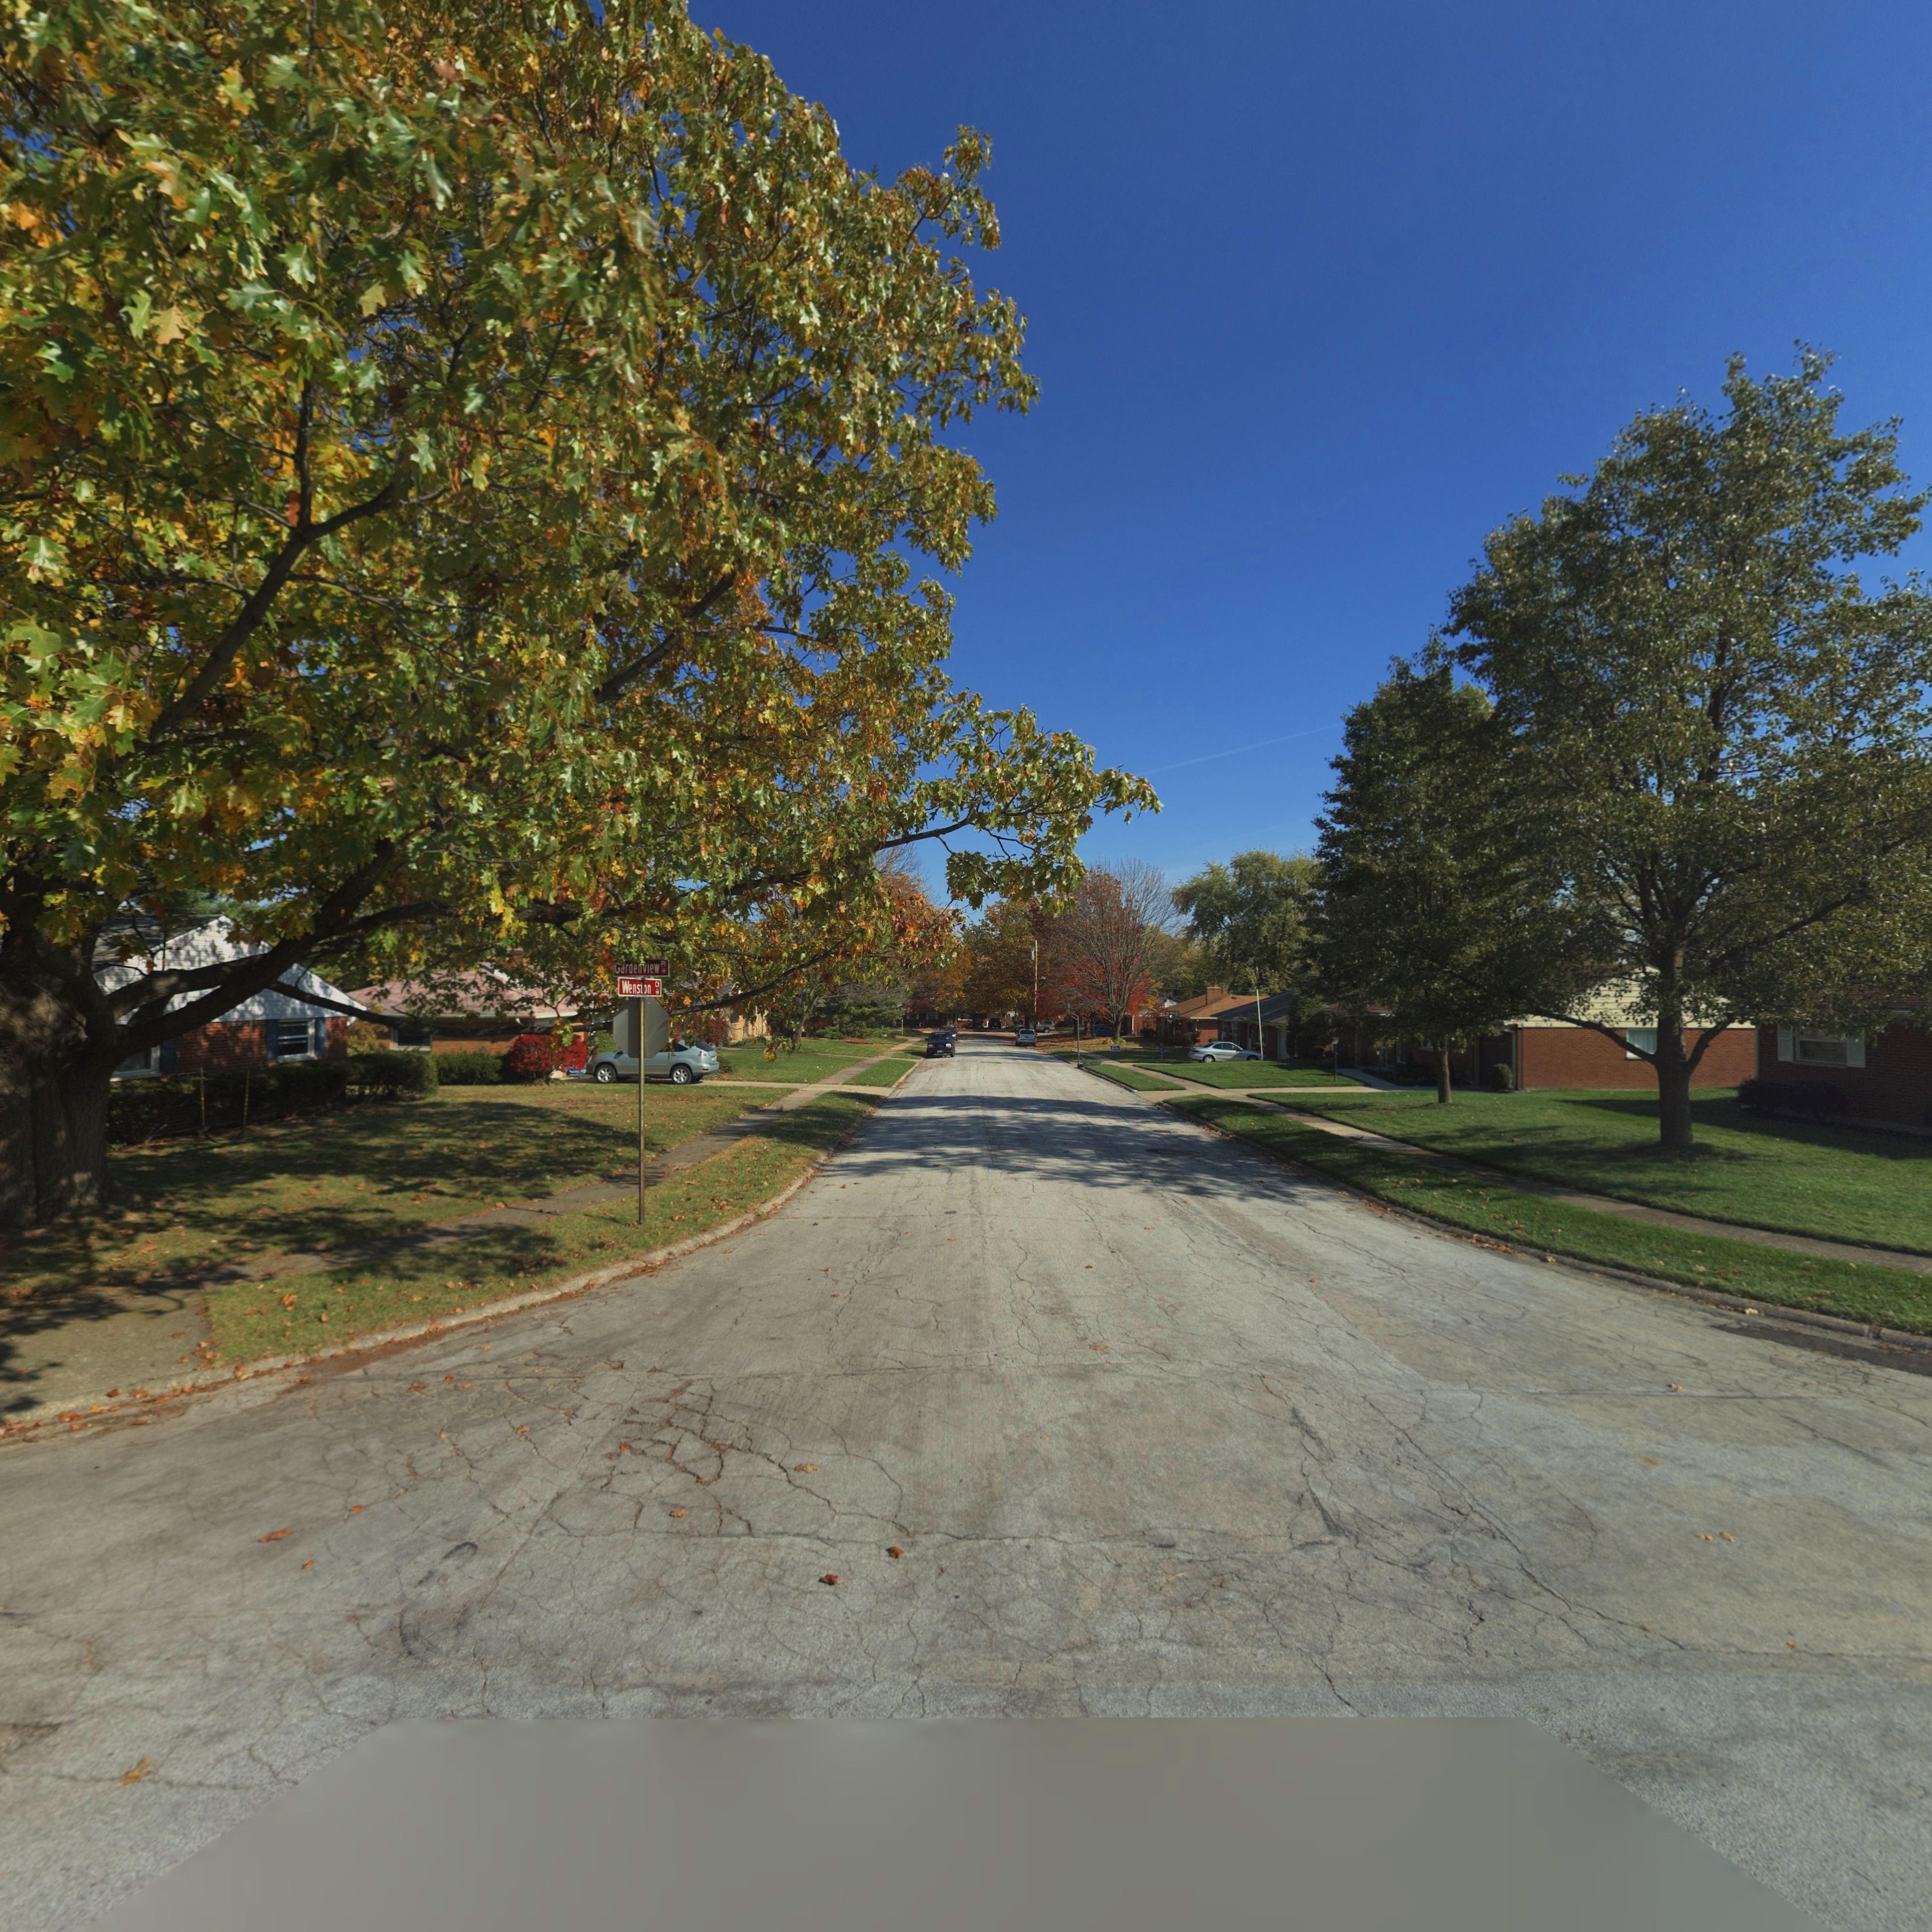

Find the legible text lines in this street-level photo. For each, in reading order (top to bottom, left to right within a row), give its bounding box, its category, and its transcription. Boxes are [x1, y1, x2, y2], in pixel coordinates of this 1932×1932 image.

[614, 960, 667, 974] StreetName: Gardenview Pl
[621, 980, 660, 995] StreetName: Wenston Ct